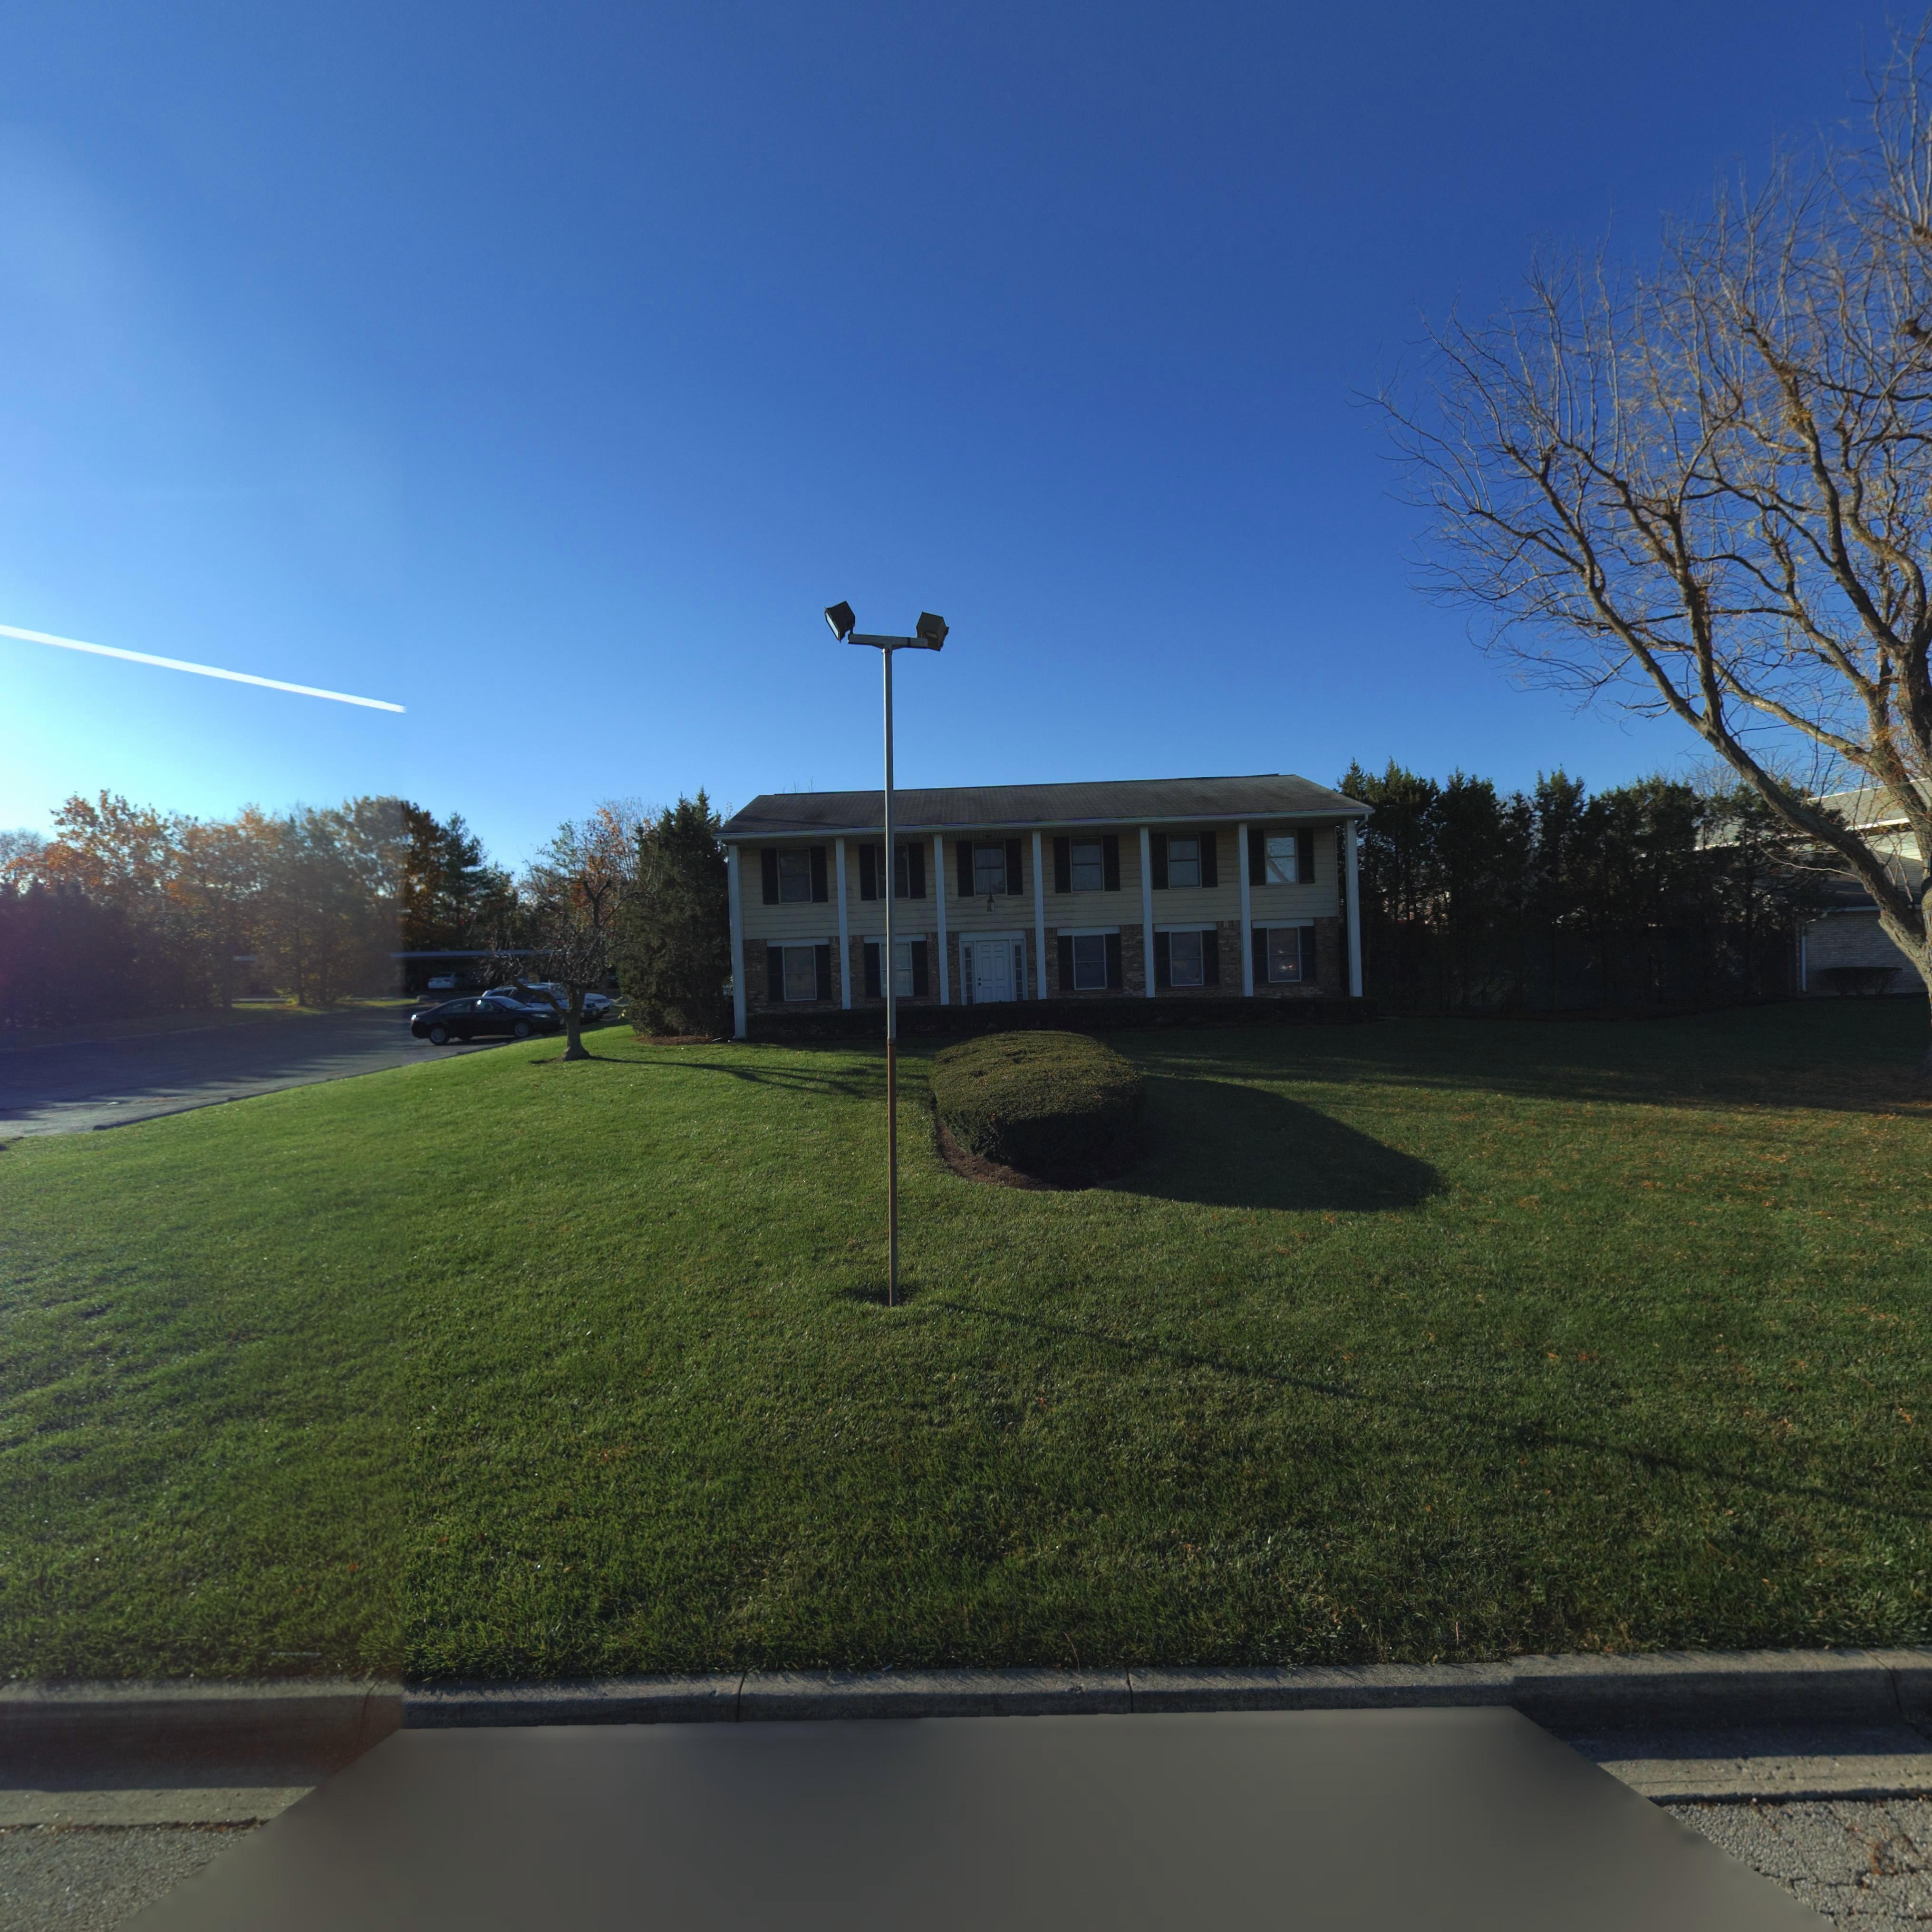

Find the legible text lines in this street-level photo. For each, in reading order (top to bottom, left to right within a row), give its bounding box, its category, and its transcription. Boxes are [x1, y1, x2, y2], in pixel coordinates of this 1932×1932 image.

[1030, 952, 1057, 960] StreetNumber: 5**0